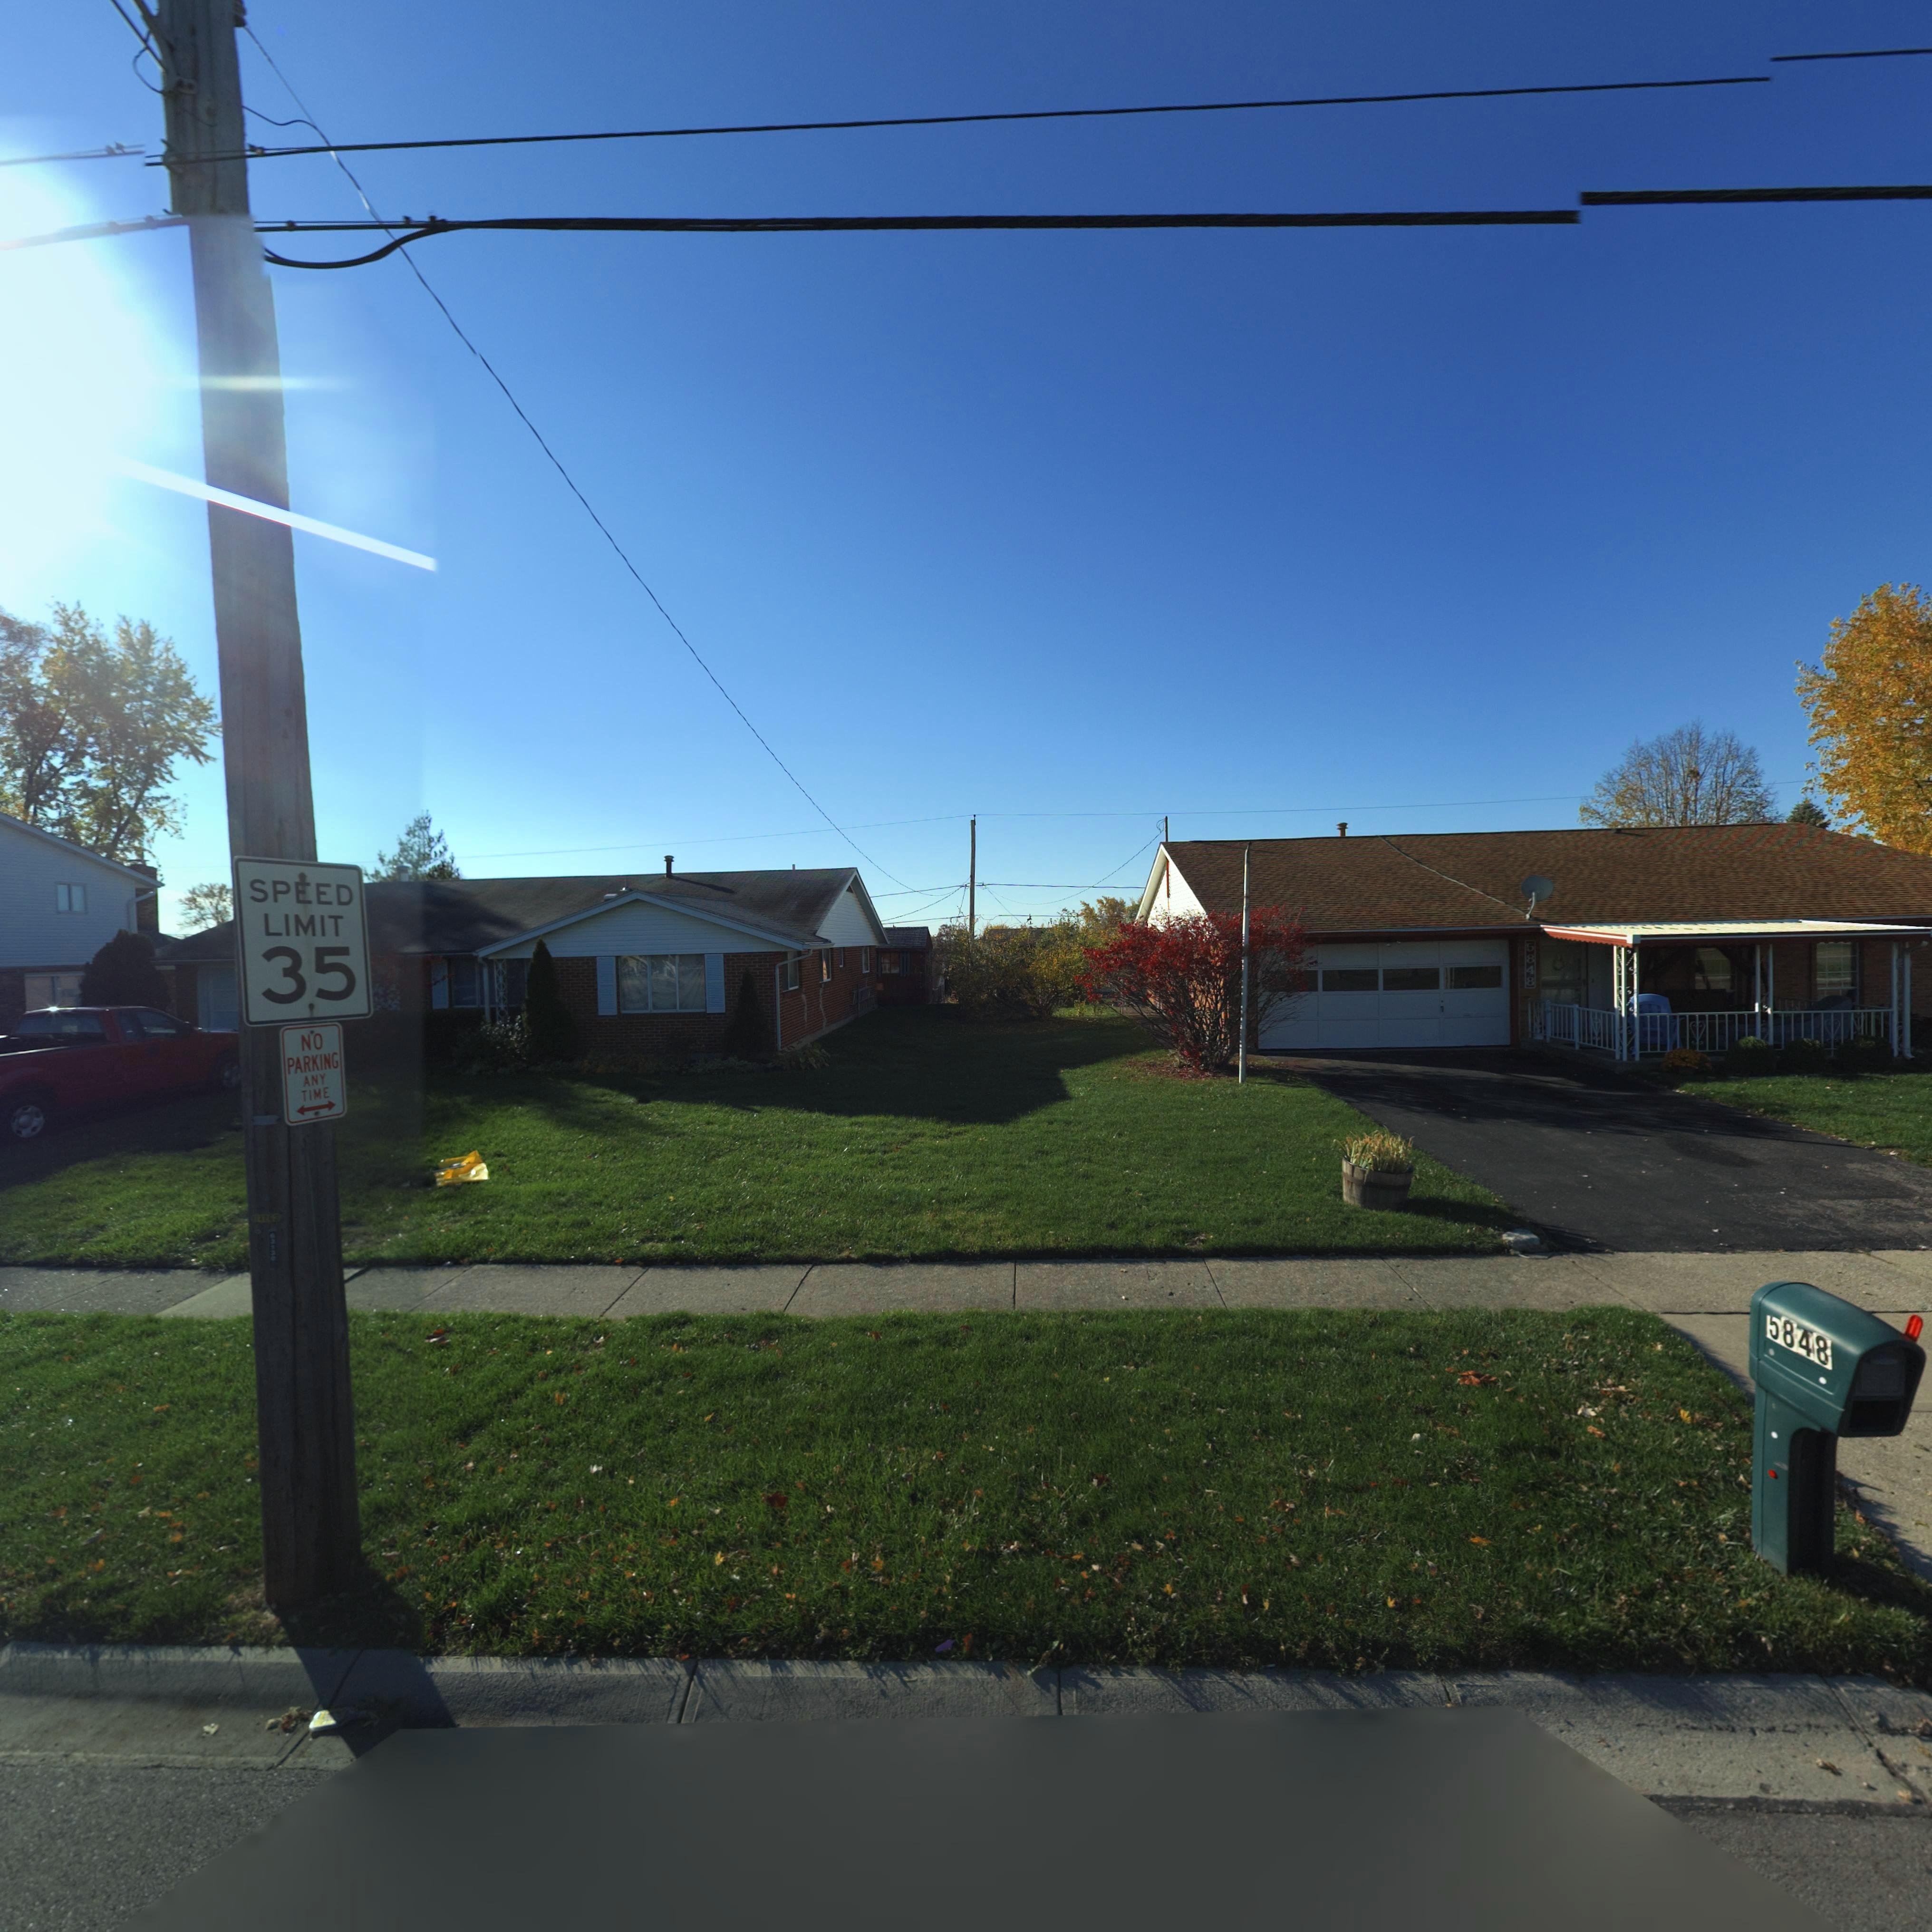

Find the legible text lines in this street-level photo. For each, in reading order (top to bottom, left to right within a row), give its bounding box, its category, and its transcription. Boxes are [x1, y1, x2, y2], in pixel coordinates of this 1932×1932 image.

[1526, 942, 1535, 986] StreetNumber: 5848
[1769, 1312, 1829, 1368] StreetNumber: 5848